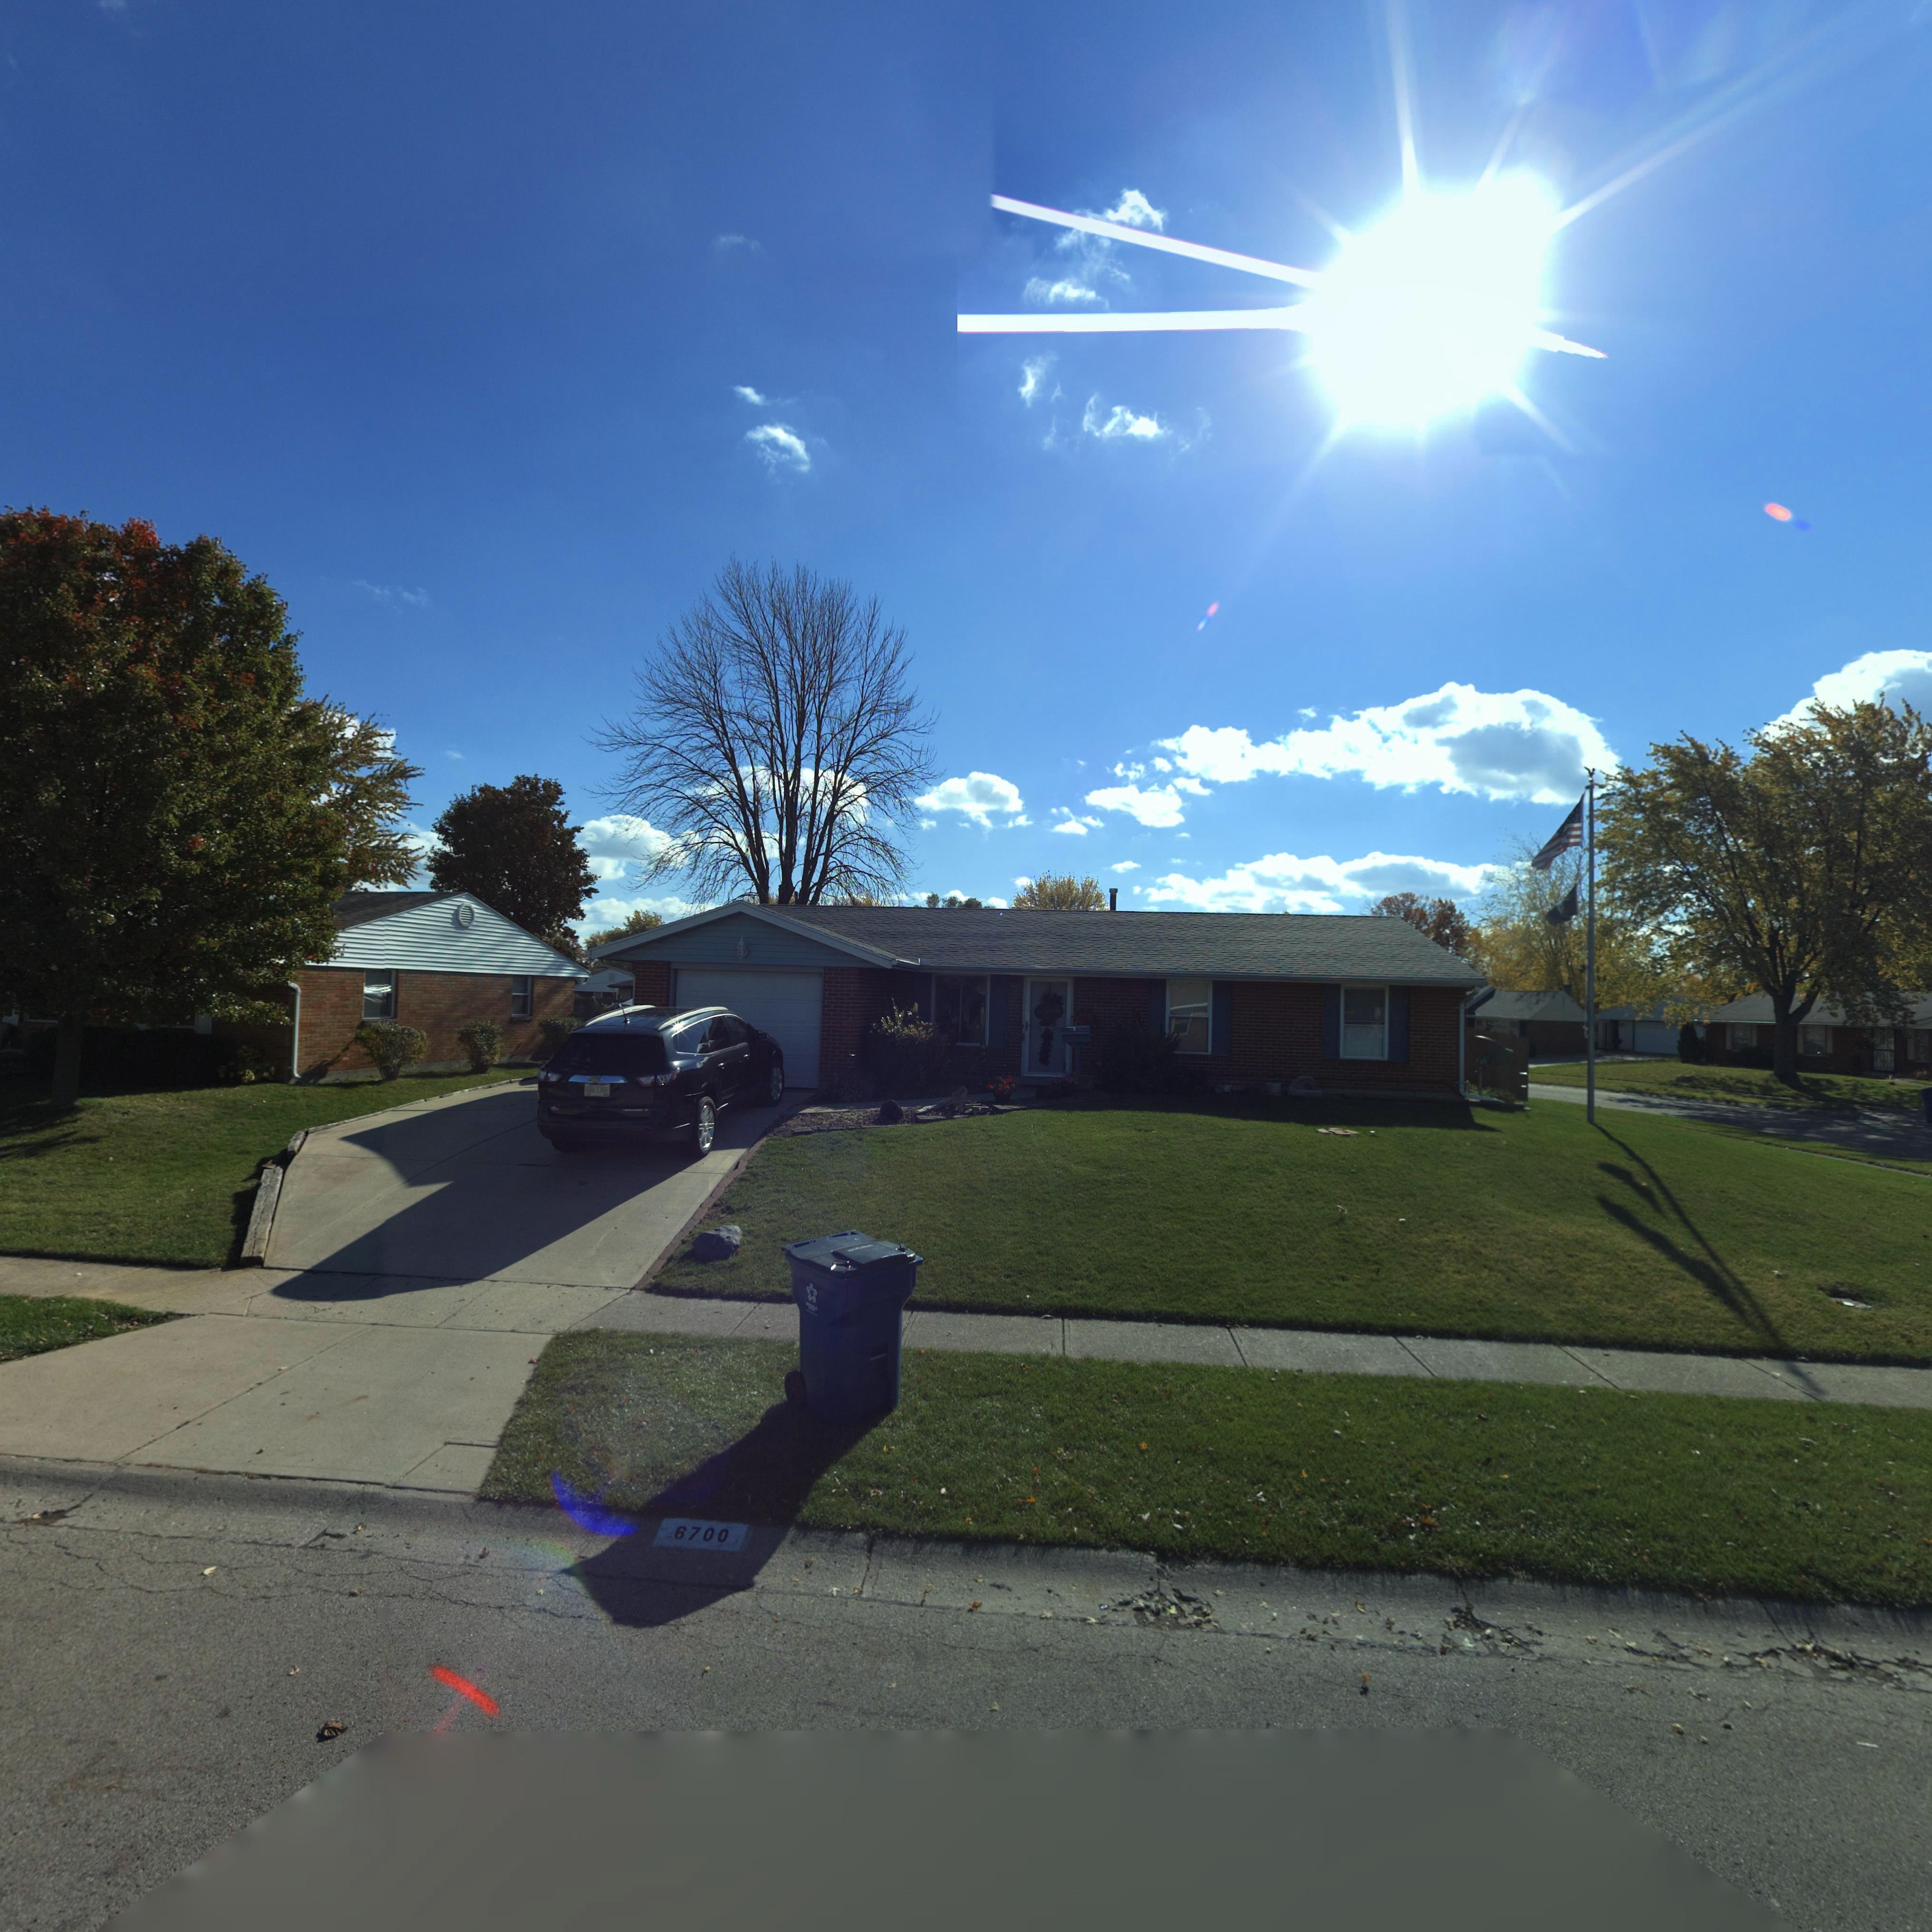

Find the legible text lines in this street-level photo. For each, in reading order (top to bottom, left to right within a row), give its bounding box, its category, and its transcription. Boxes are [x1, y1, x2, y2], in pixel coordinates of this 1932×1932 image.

[673, 1525, 730, 1544] StreetNumber: 6700